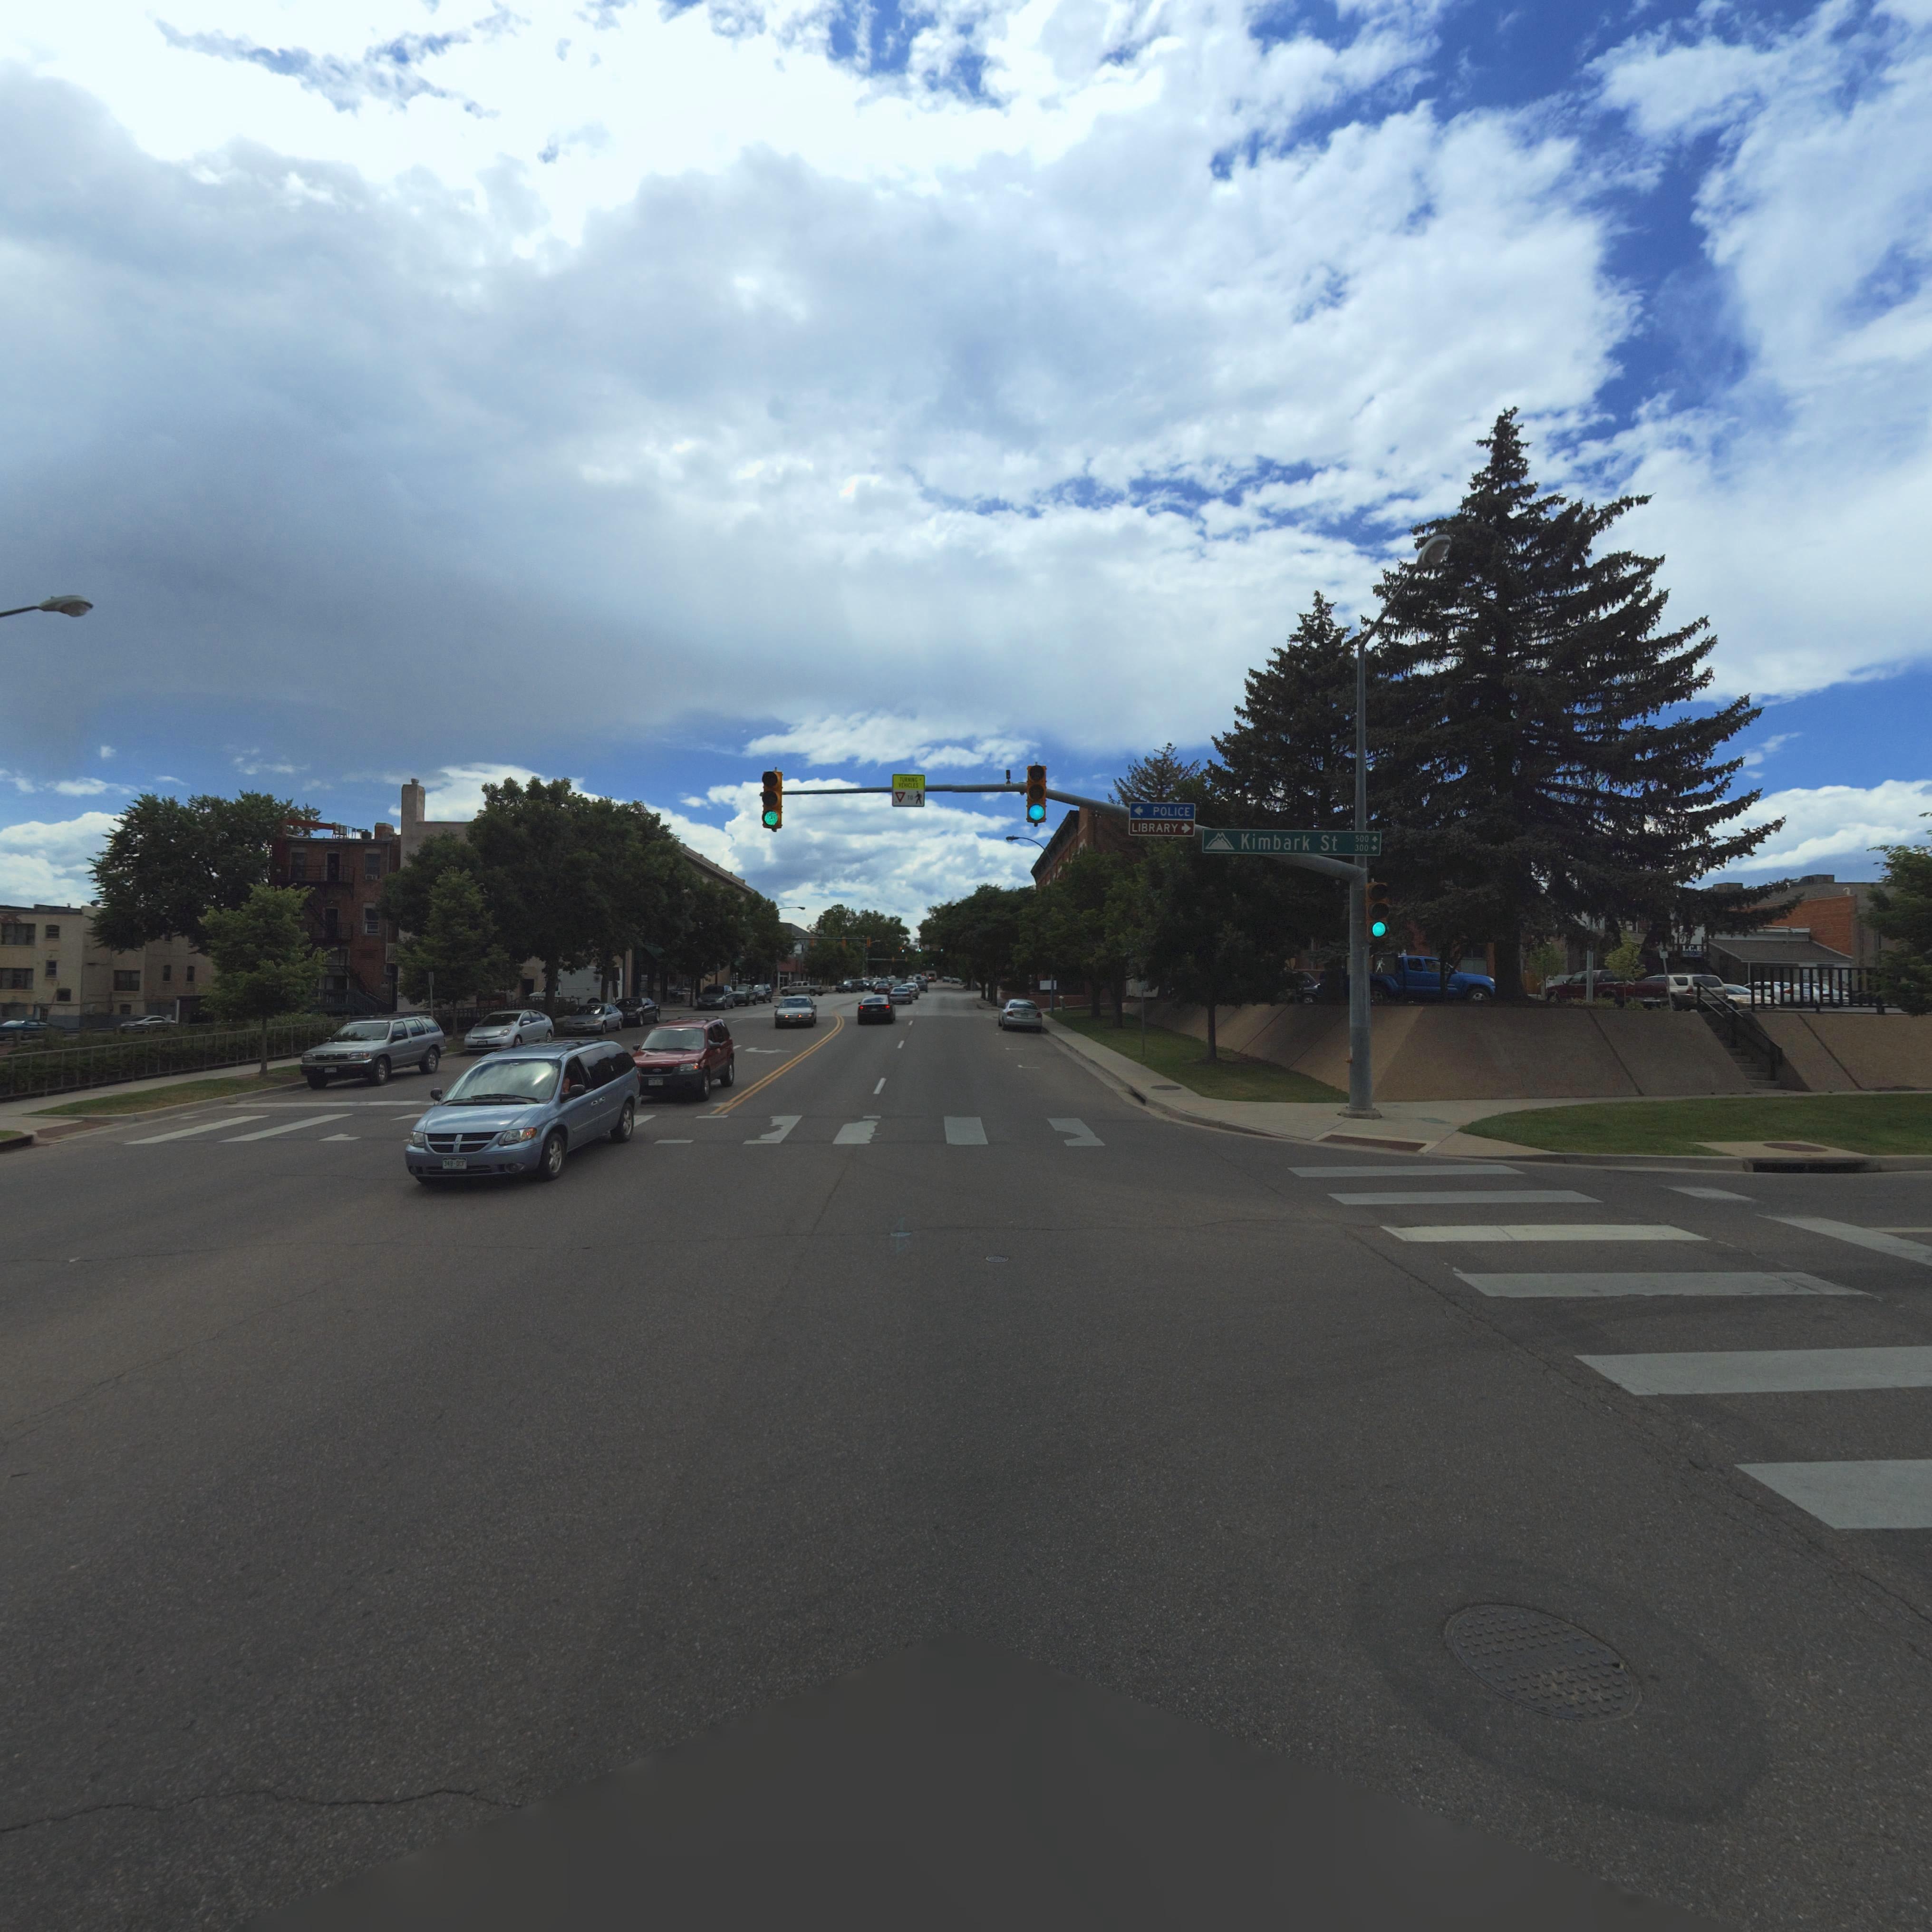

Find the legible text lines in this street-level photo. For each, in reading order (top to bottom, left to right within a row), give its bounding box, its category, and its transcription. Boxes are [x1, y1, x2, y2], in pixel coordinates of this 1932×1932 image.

[1241, 833, 1337, 851] StreetName: Kimbark St
[1355, 835, 1369, 842] StreetNumberRange: 500
[1354, 844, 1377, 851] StreetNumberRange: 300->
[1682, 945, 1702, 951] BusinessName: I.C.E.